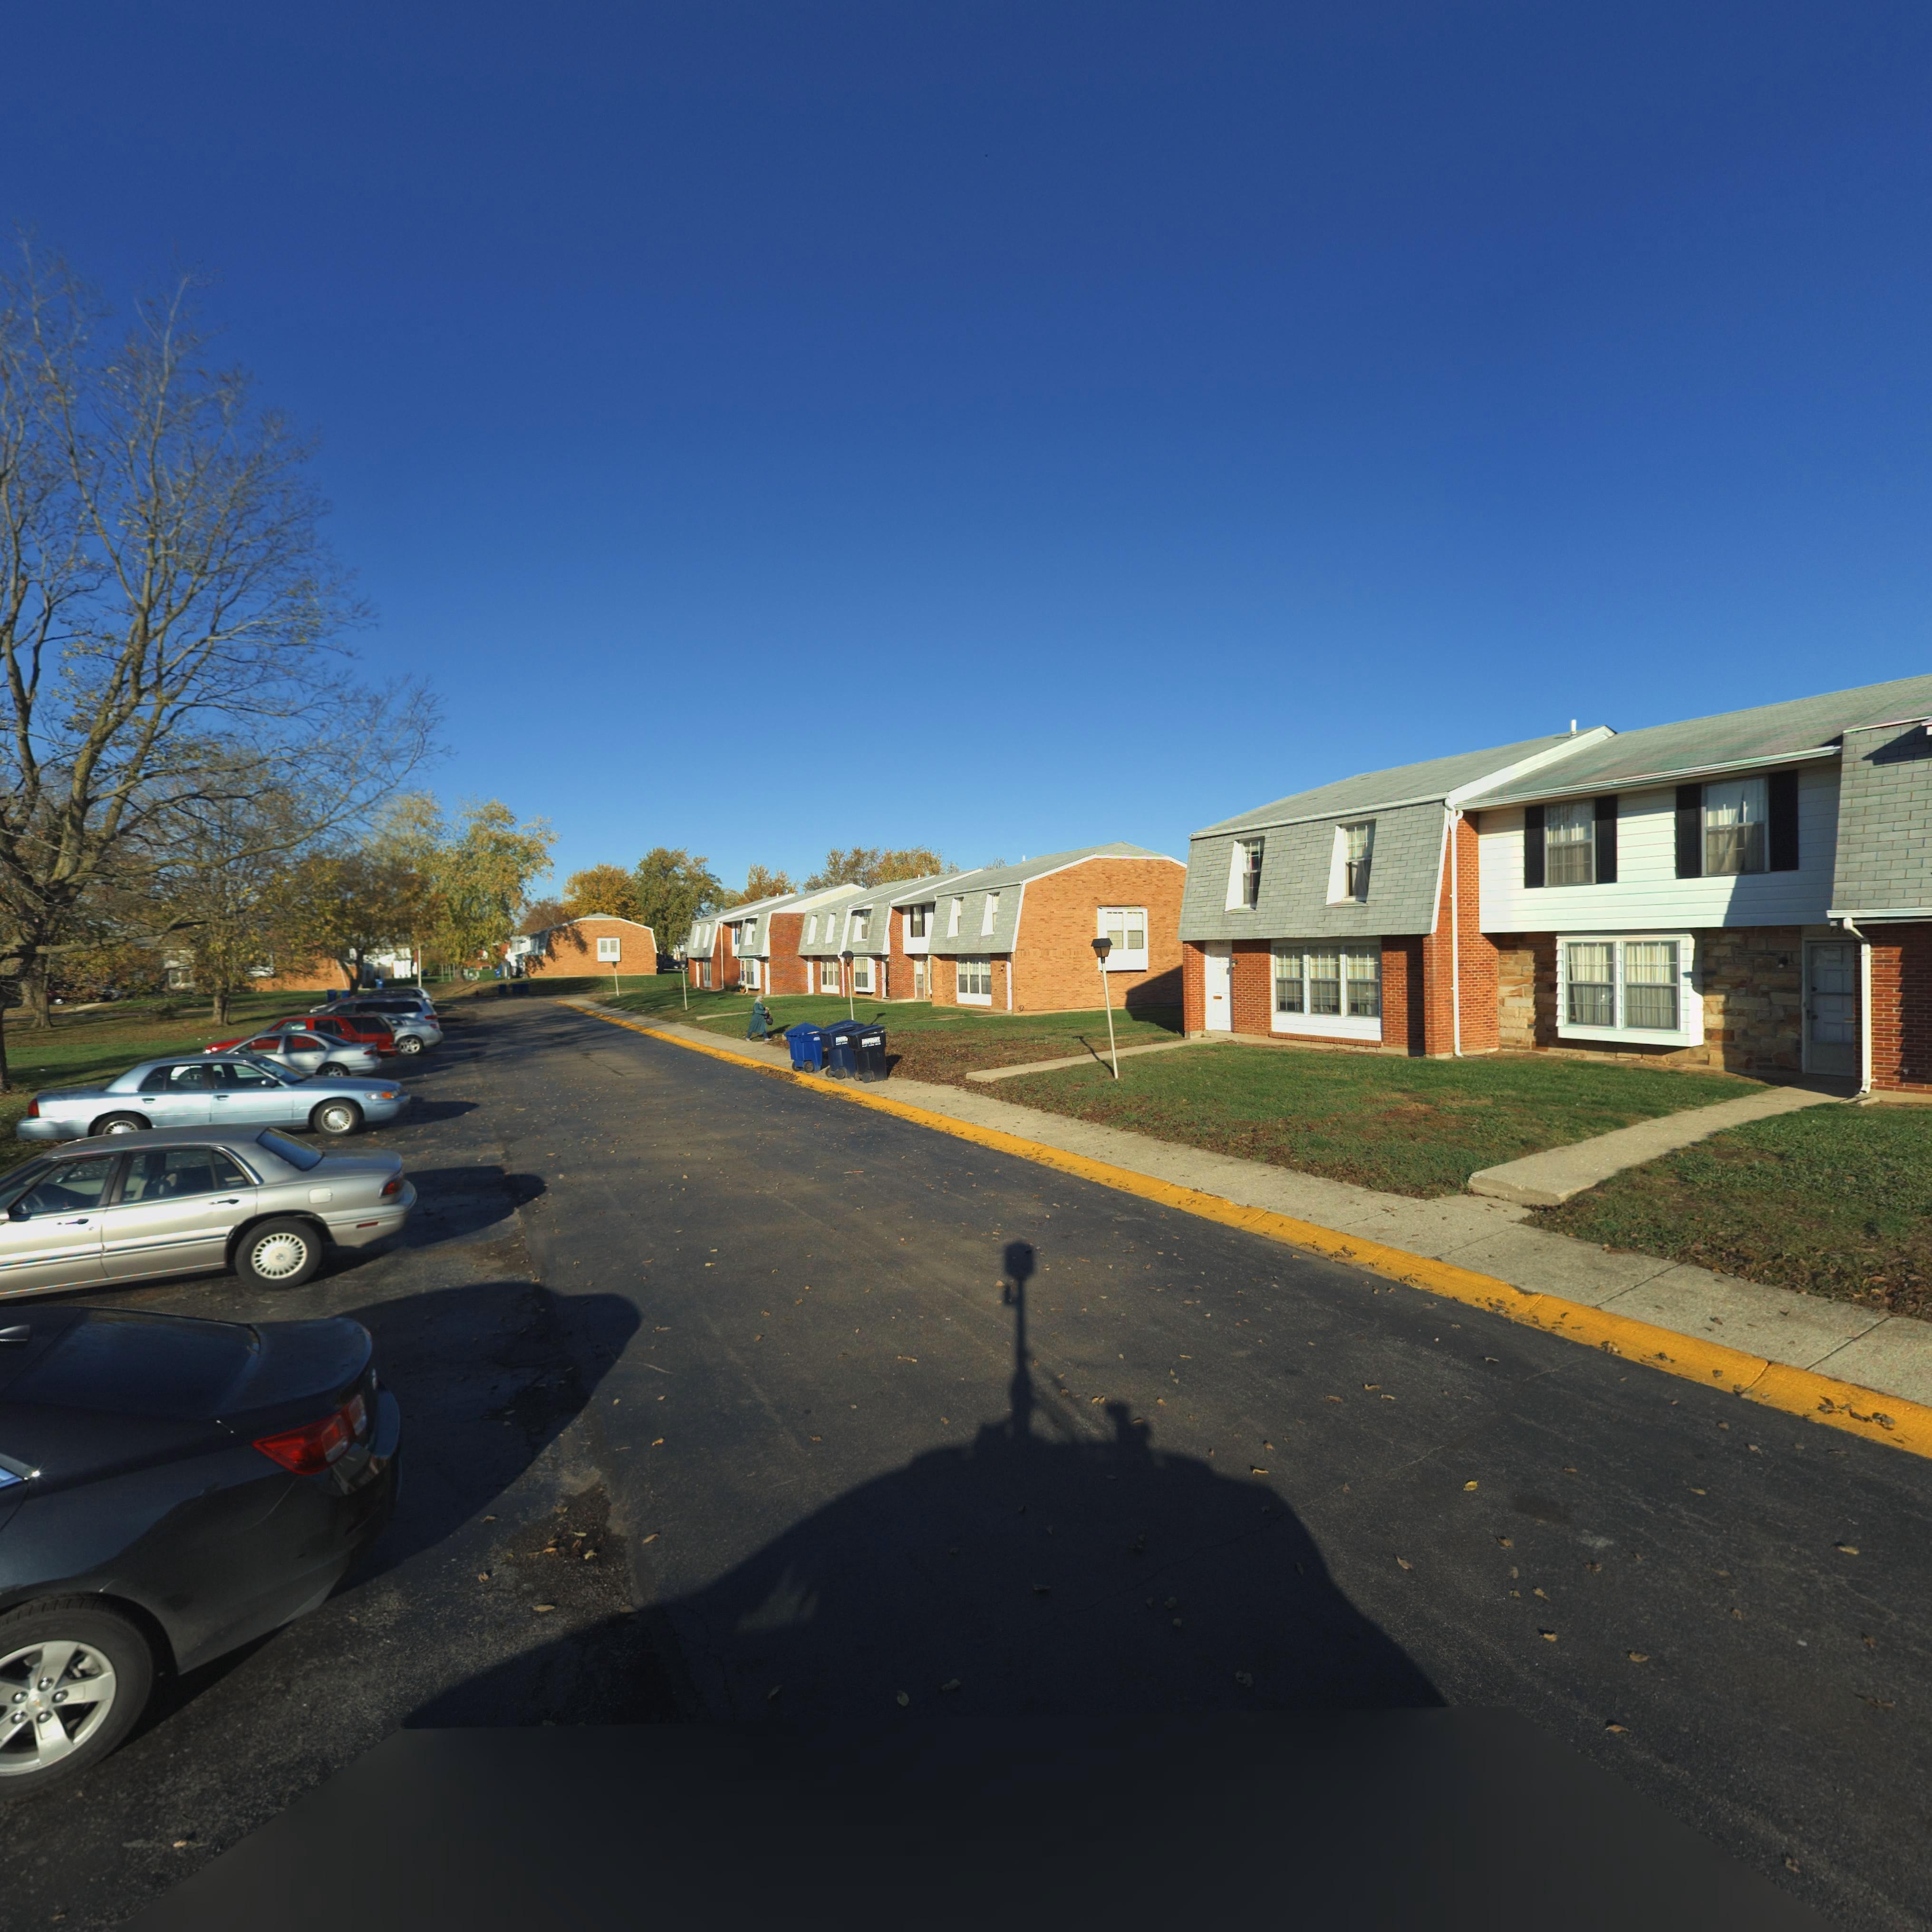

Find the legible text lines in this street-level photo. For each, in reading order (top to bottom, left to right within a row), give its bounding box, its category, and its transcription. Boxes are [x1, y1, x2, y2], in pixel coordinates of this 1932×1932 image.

[1829, 926, 1842, 934] StreetNumber: 75